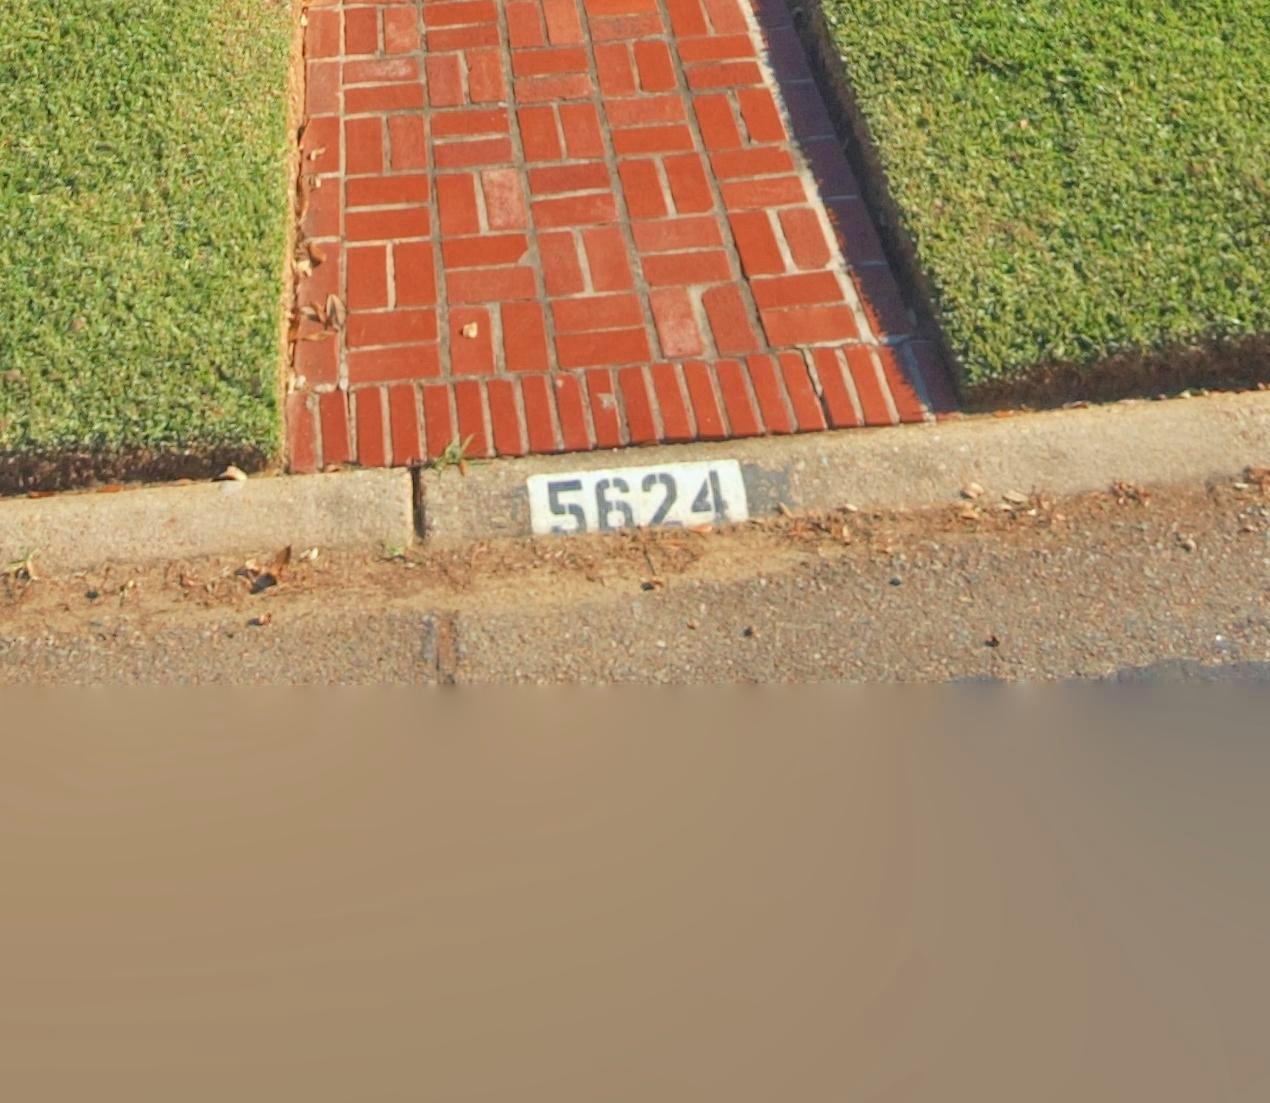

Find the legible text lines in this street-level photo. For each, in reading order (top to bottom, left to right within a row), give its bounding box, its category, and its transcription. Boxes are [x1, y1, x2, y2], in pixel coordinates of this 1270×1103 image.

[543, 464, 736, 540] StreetNumber: 5624